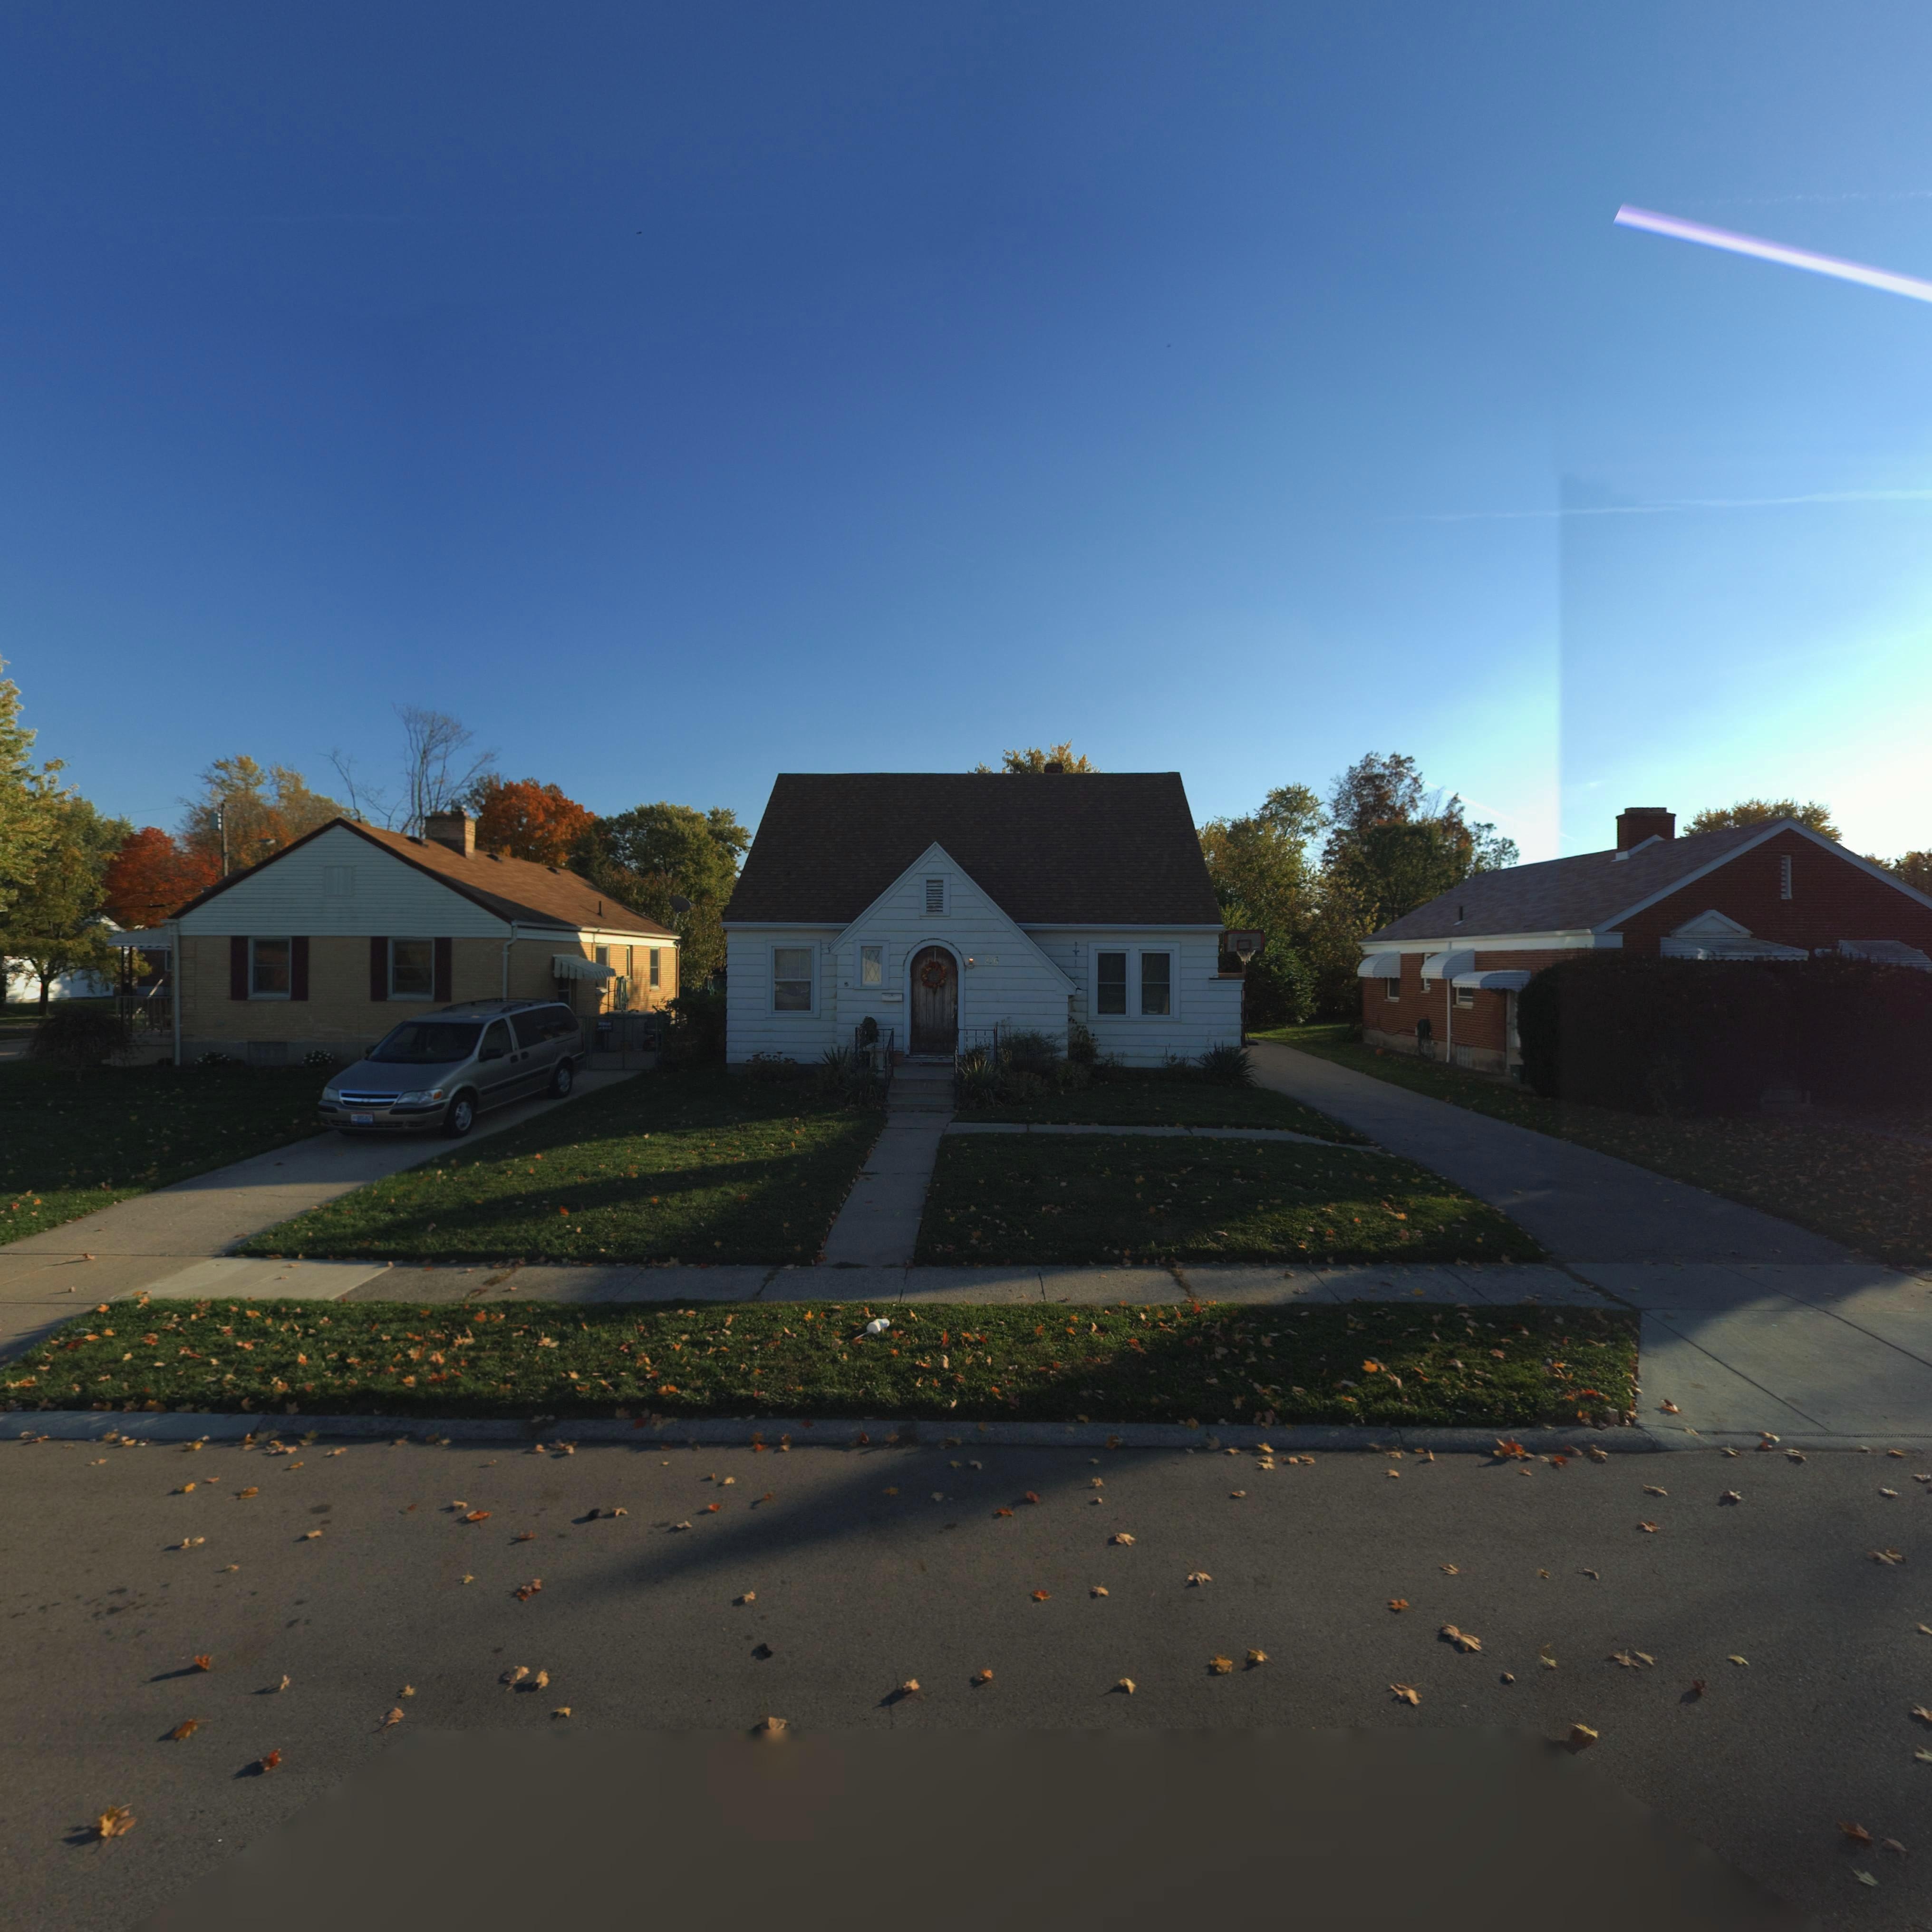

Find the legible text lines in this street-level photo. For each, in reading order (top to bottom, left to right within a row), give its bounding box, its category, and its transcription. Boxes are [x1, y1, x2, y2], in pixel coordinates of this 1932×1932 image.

[984, 956, 1000, 965] StreetNumber: 216